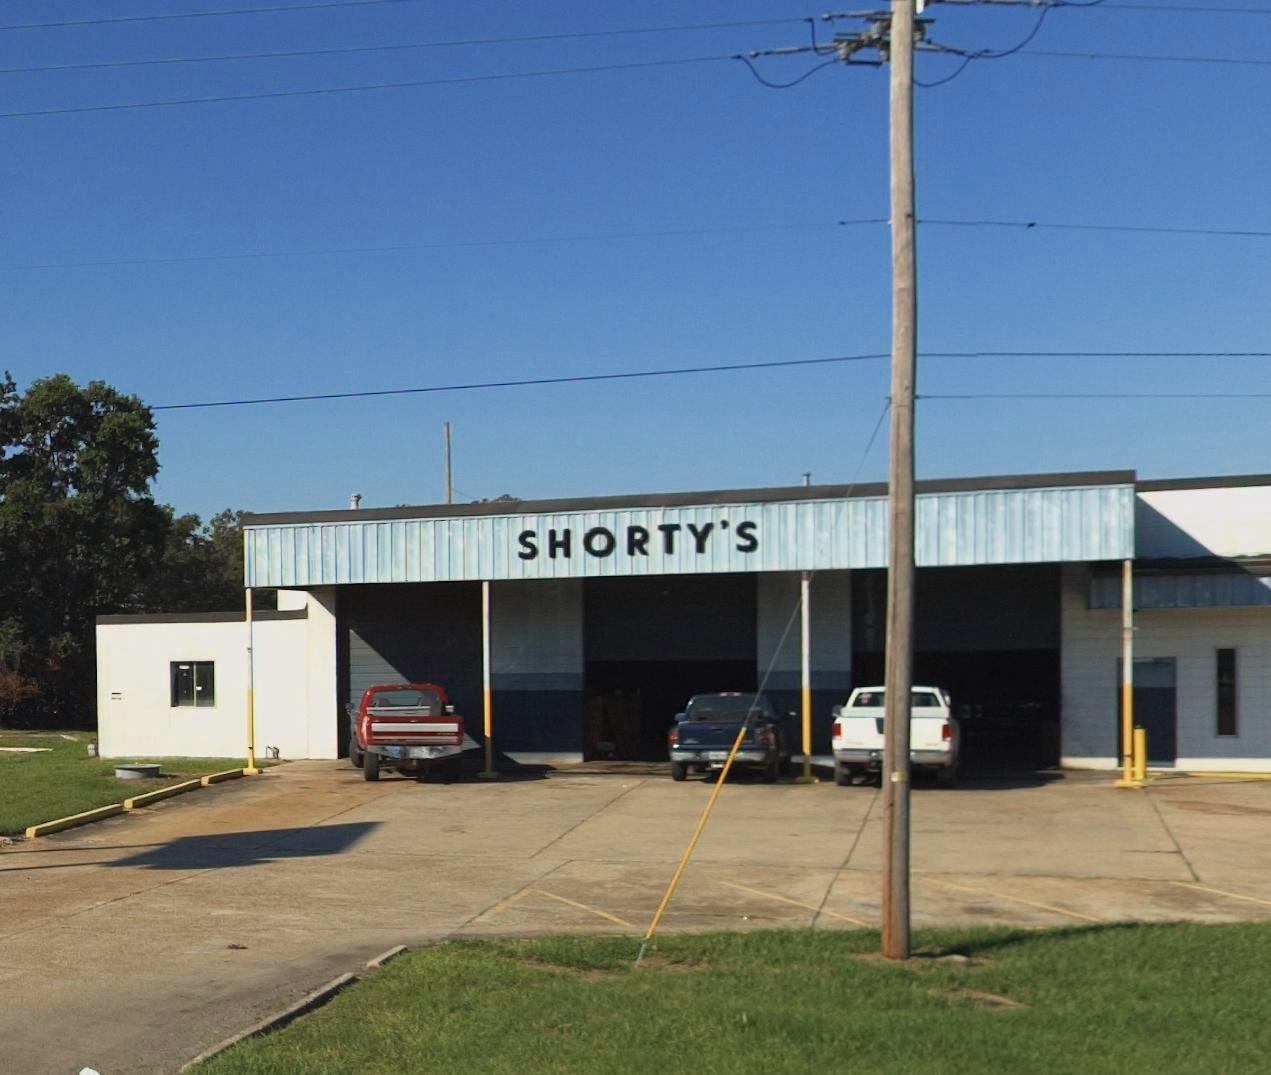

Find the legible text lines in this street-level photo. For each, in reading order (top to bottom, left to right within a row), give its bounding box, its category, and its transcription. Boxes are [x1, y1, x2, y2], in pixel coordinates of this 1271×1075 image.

[515, 516, 762, 564] BusinessName: SHORTY'S